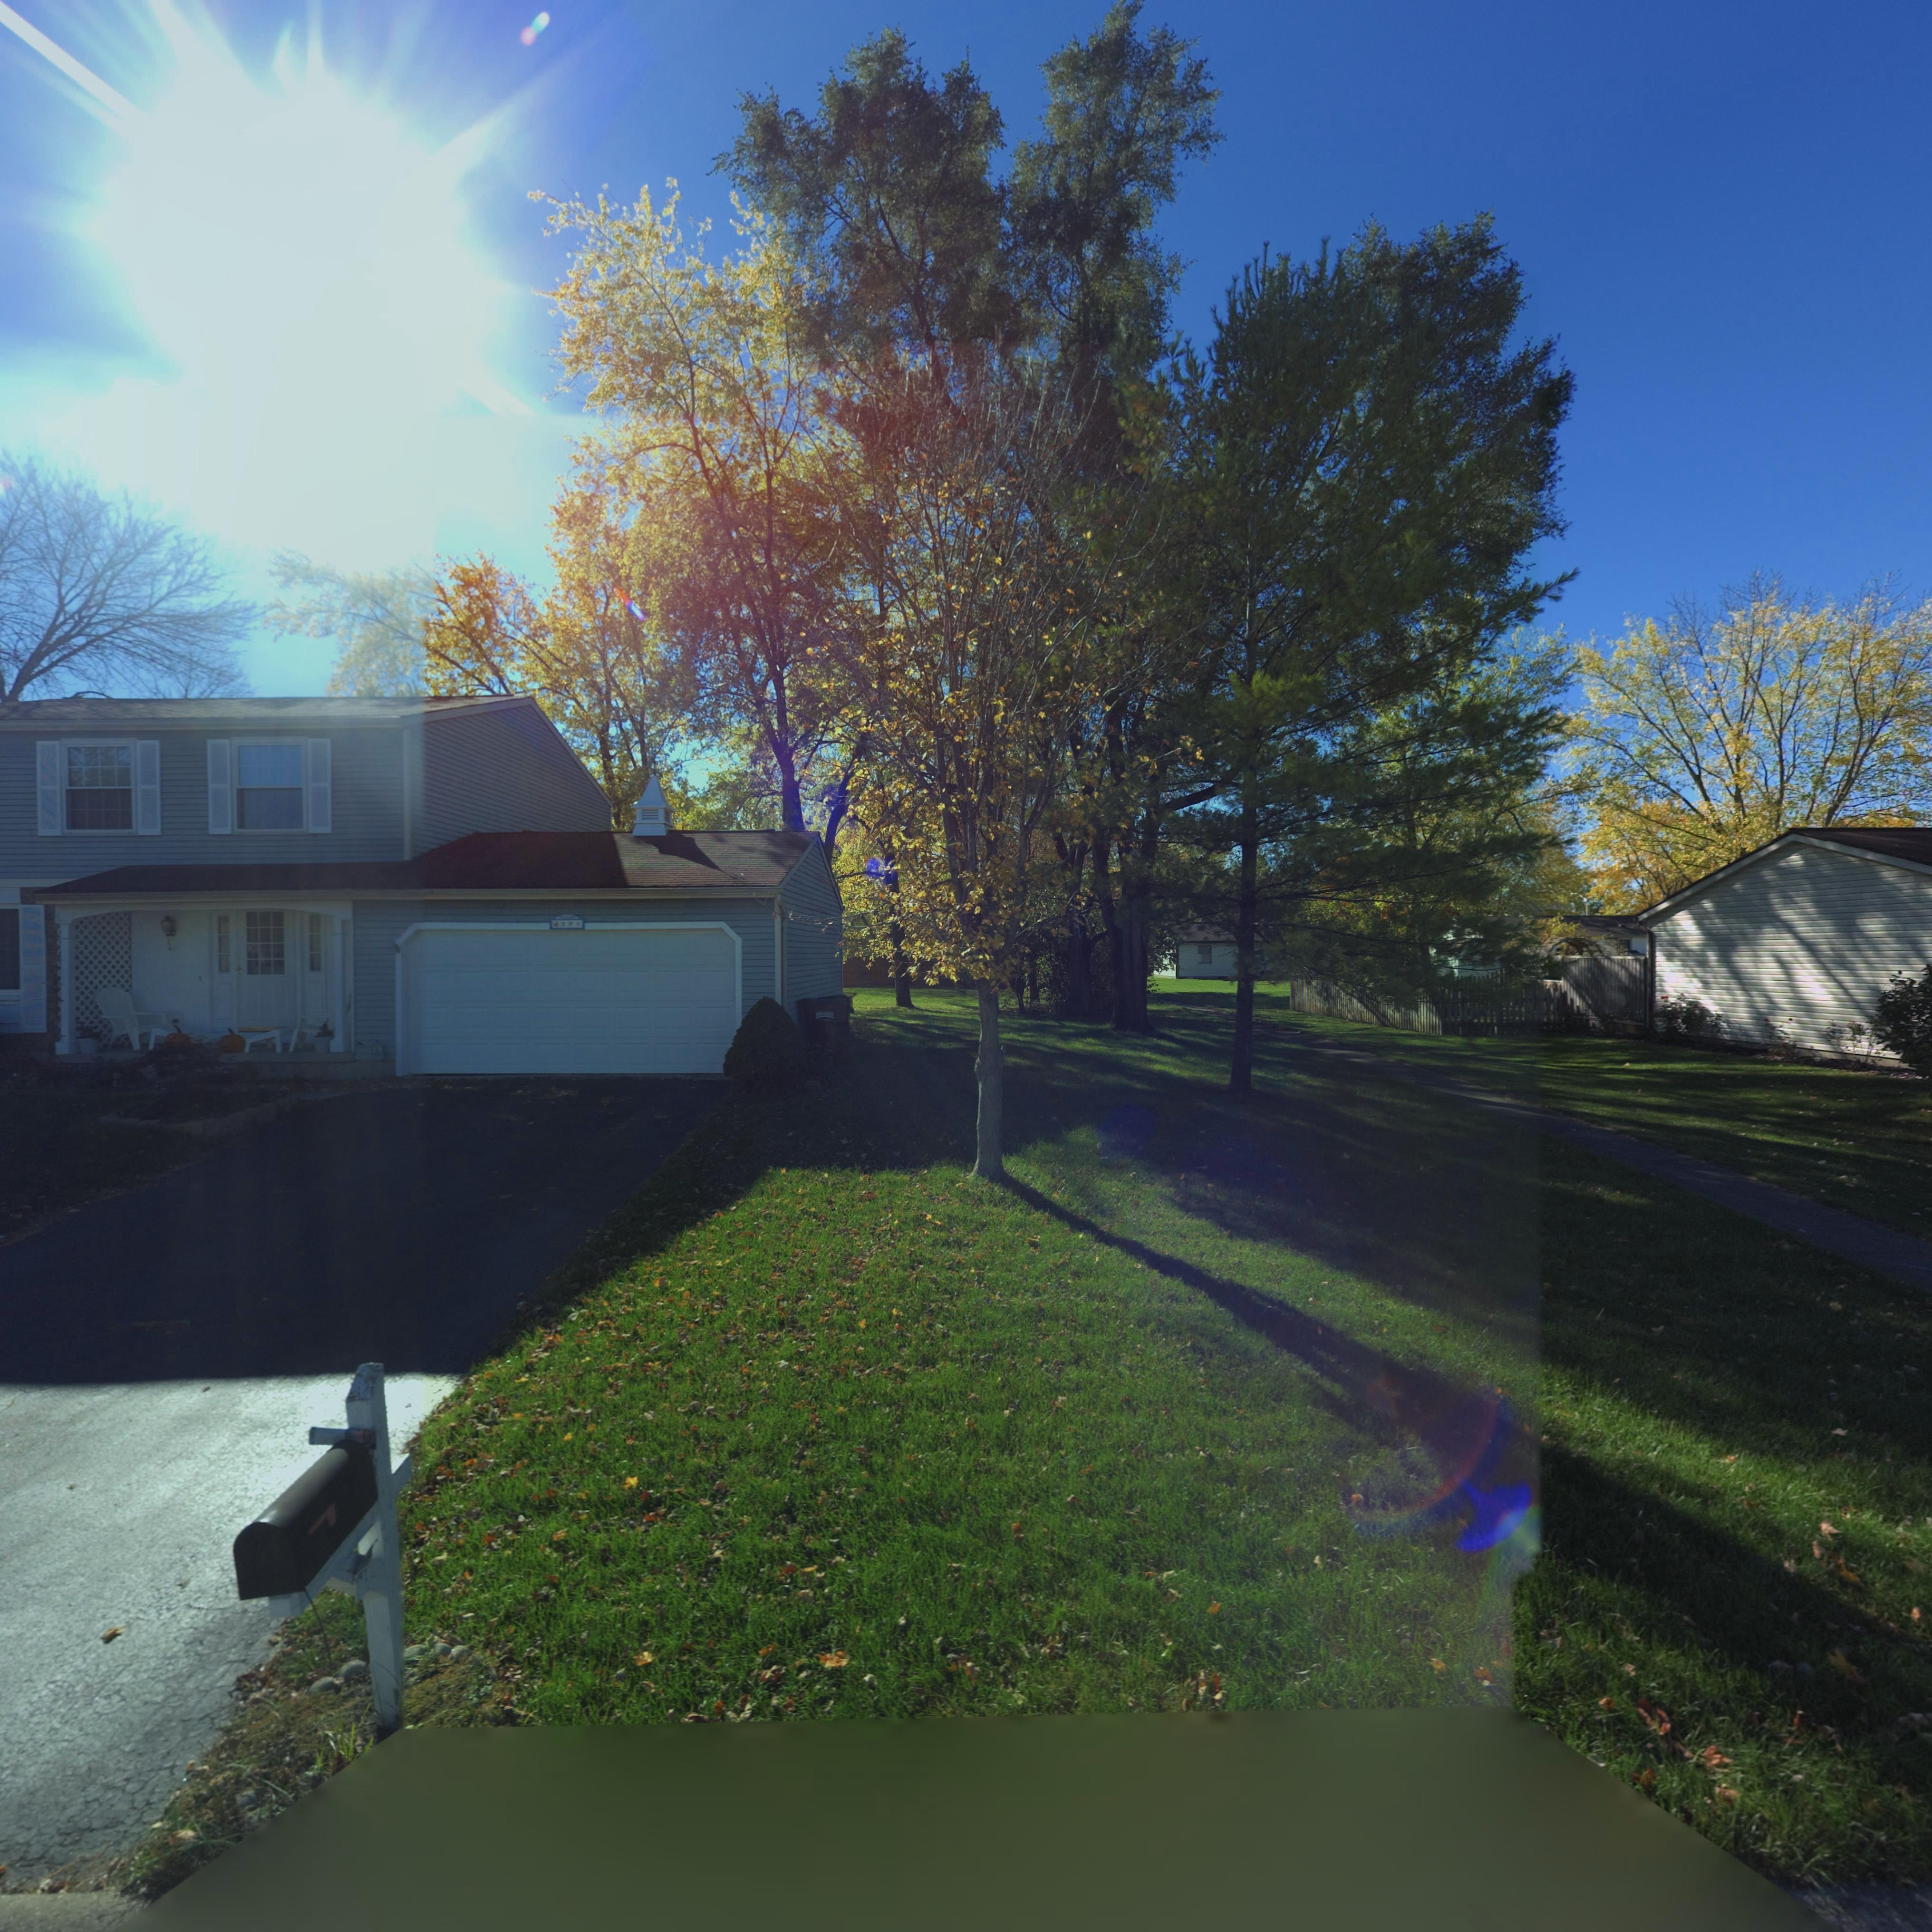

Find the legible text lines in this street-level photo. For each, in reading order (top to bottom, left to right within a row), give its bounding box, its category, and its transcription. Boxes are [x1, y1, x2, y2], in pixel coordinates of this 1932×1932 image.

[552, 920, 581, 928] StreetNumber: 4100